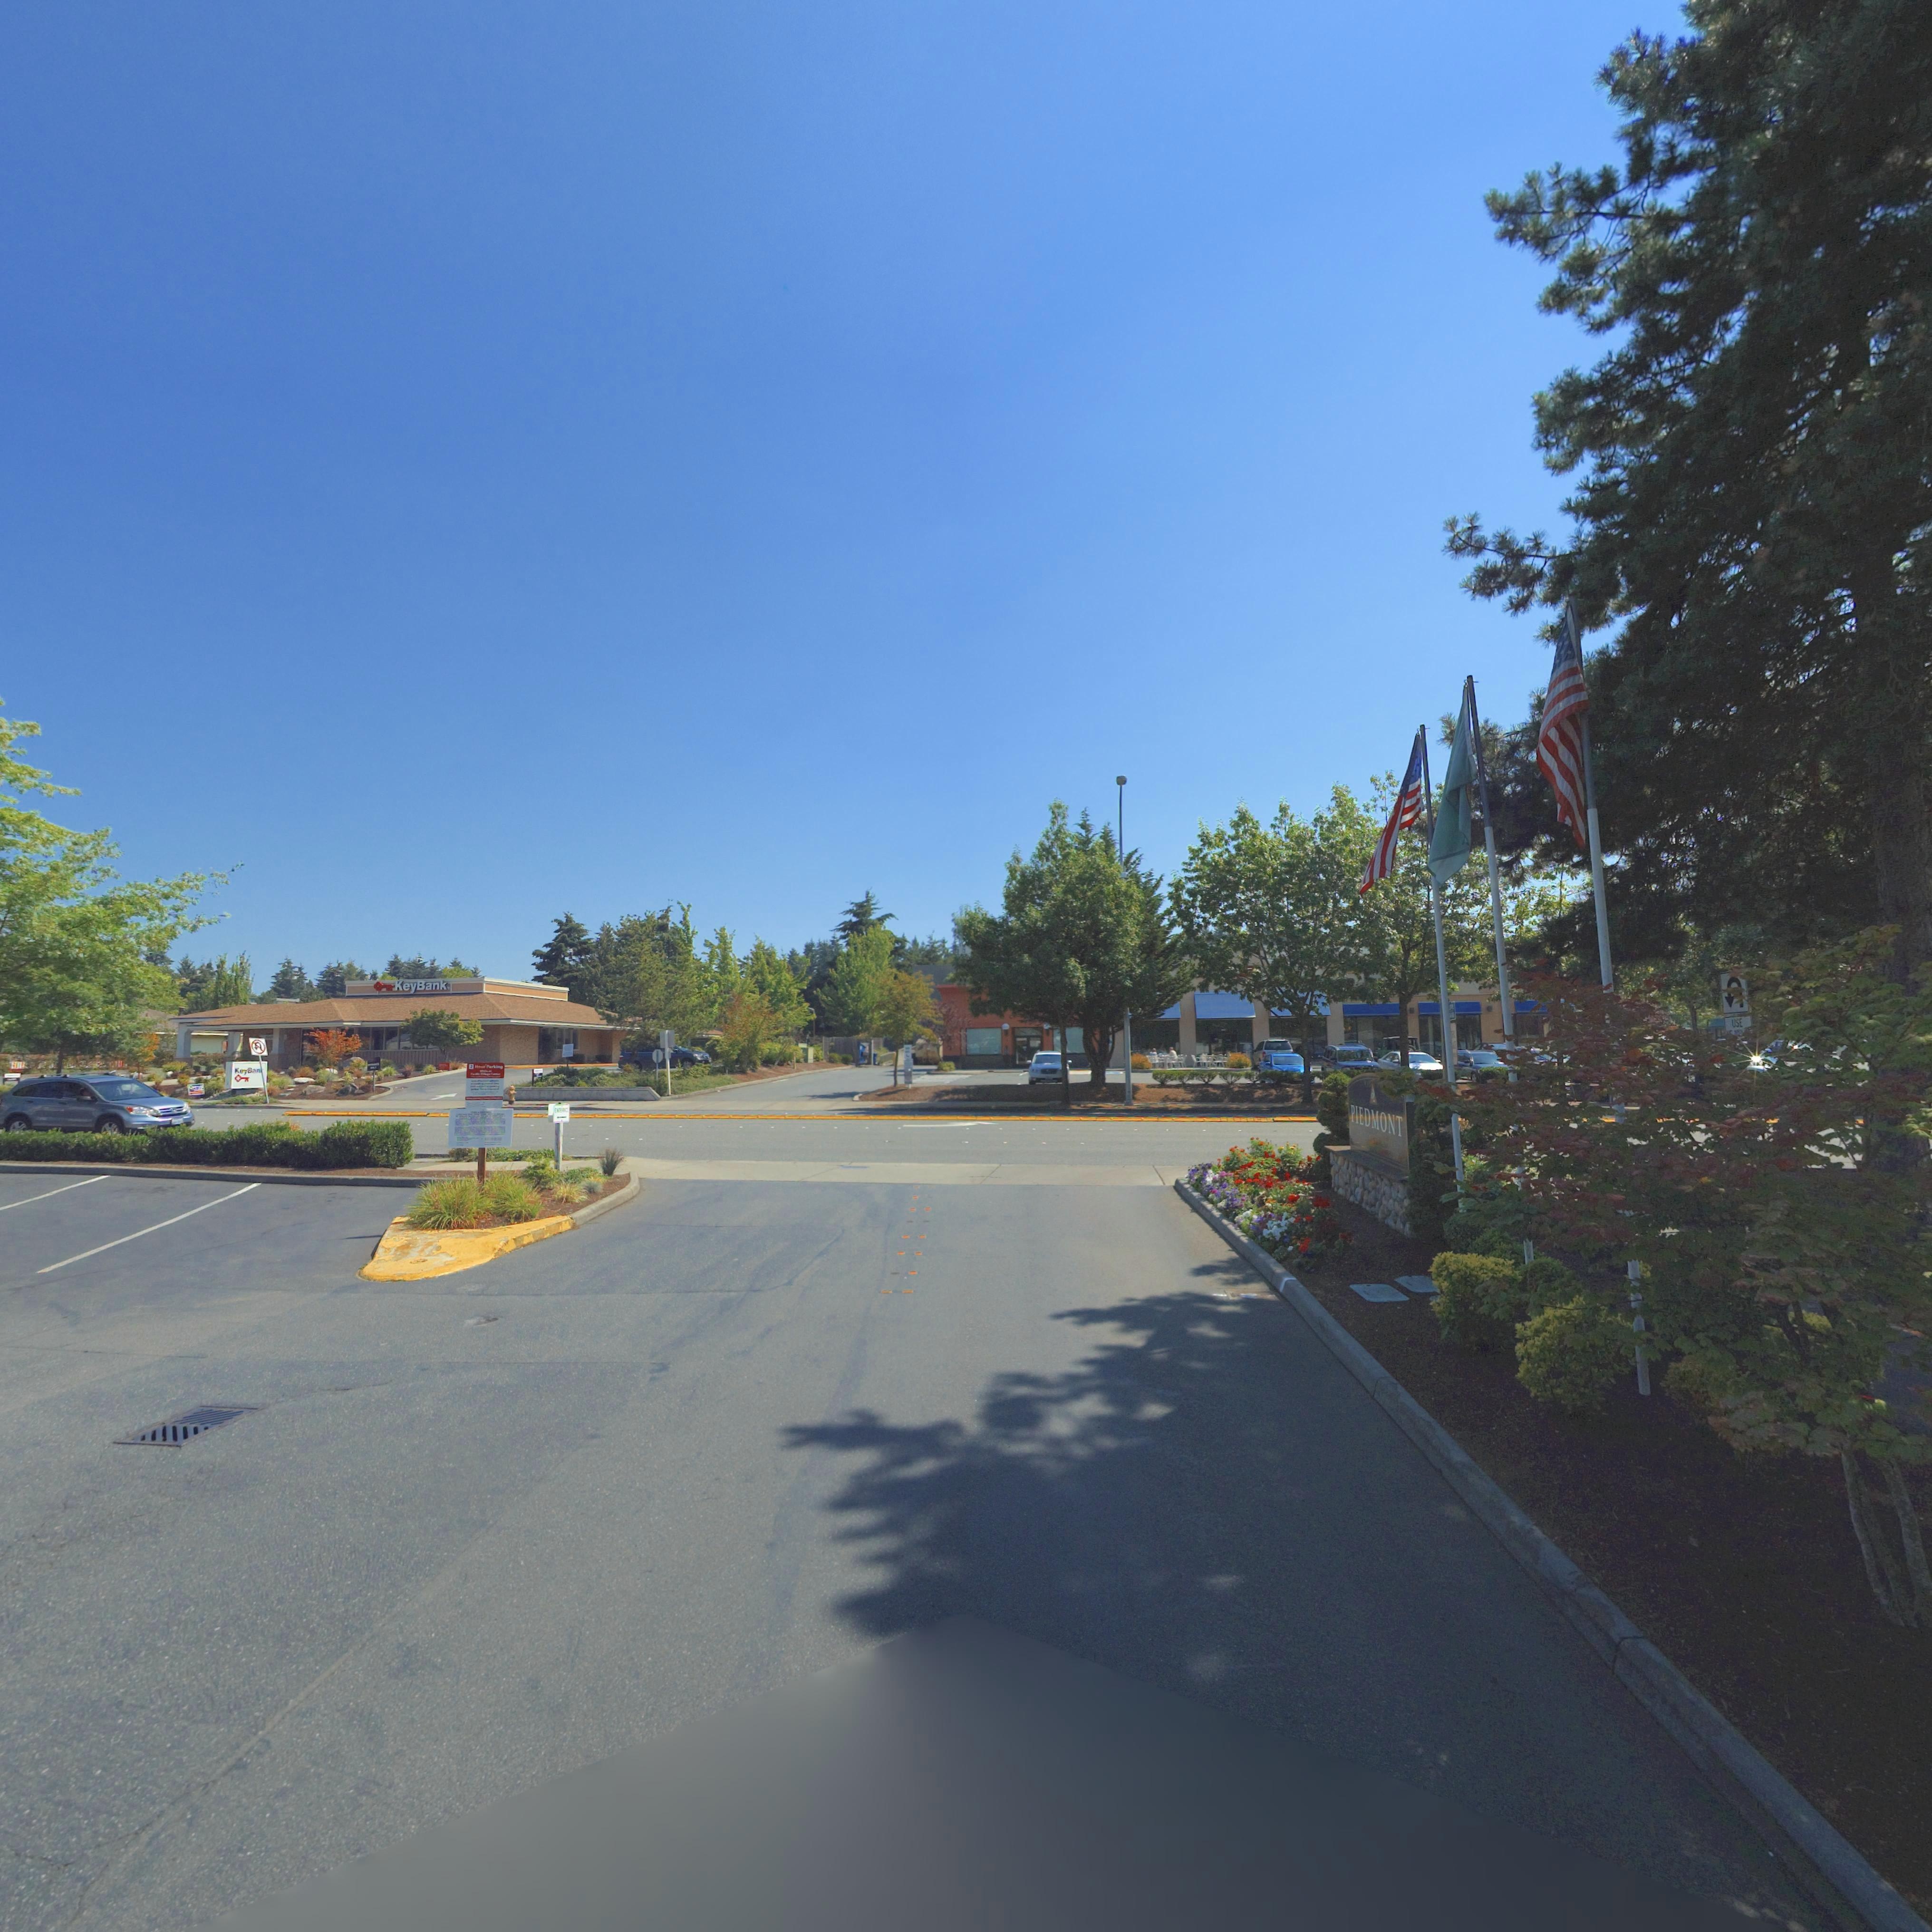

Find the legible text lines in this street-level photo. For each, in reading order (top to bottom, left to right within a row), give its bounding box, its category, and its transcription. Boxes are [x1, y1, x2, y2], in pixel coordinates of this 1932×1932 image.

[394, 979, 450, 995] BusinessName: KeyBank
[235, 1067, 263, 1075] BusinessName: K**B***